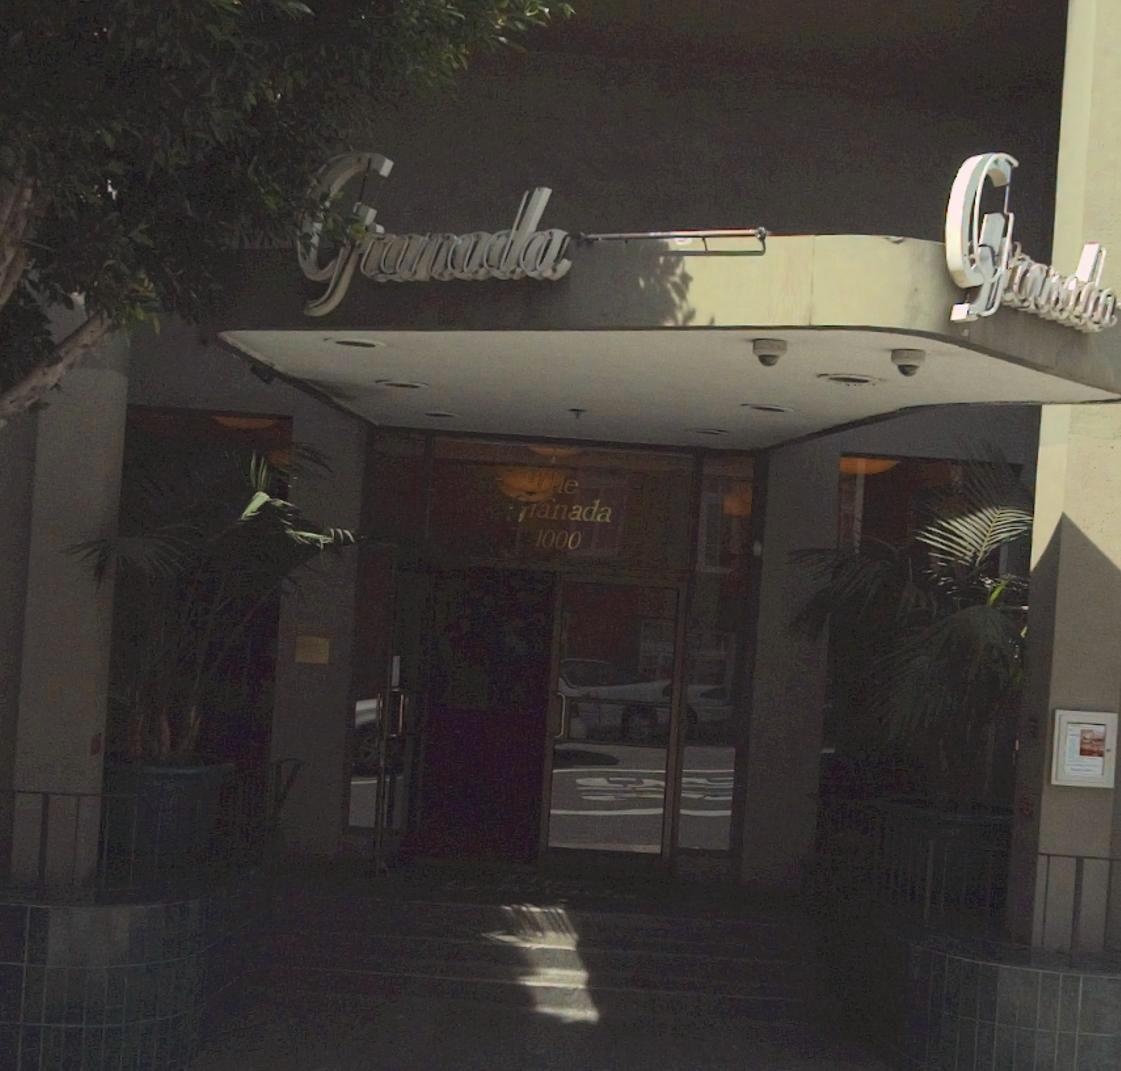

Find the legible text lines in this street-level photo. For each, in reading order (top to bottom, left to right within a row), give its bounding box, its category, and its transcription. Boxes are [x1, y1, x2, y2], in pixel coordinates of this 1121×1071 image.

[357, 177, 588, 286] BusinessName: ranada
[527, 496, 615, 523] BusinessName: ranada
[534, 528, 585, 551] StreetNumber: 1000